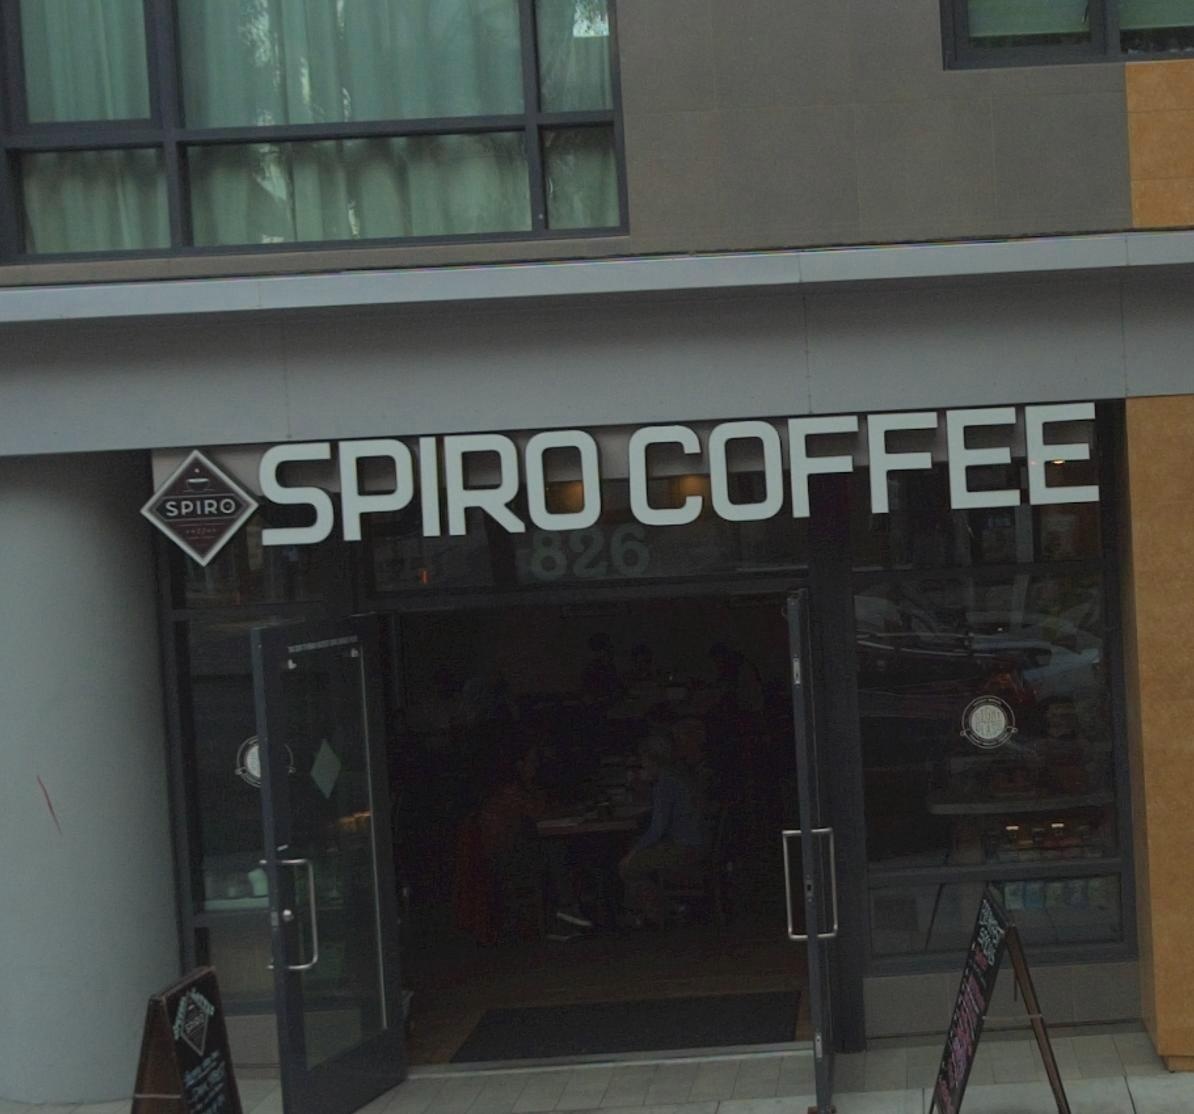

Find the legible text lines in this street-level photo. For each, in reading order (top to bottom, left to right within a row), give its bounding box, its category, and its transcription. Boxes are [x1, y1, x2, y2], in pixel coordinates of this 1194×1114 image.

[256, 400, 1102, 548] BusinessName: SPIRO COFFEE
[165, 498, 236, 517] BusinessName: SPIRO
[528, 523, 653, 583] StreetNumber: 826
[973, 706, 1004, 722] None: SIGHT
[974, 721, 1004, 738] None: GLASS